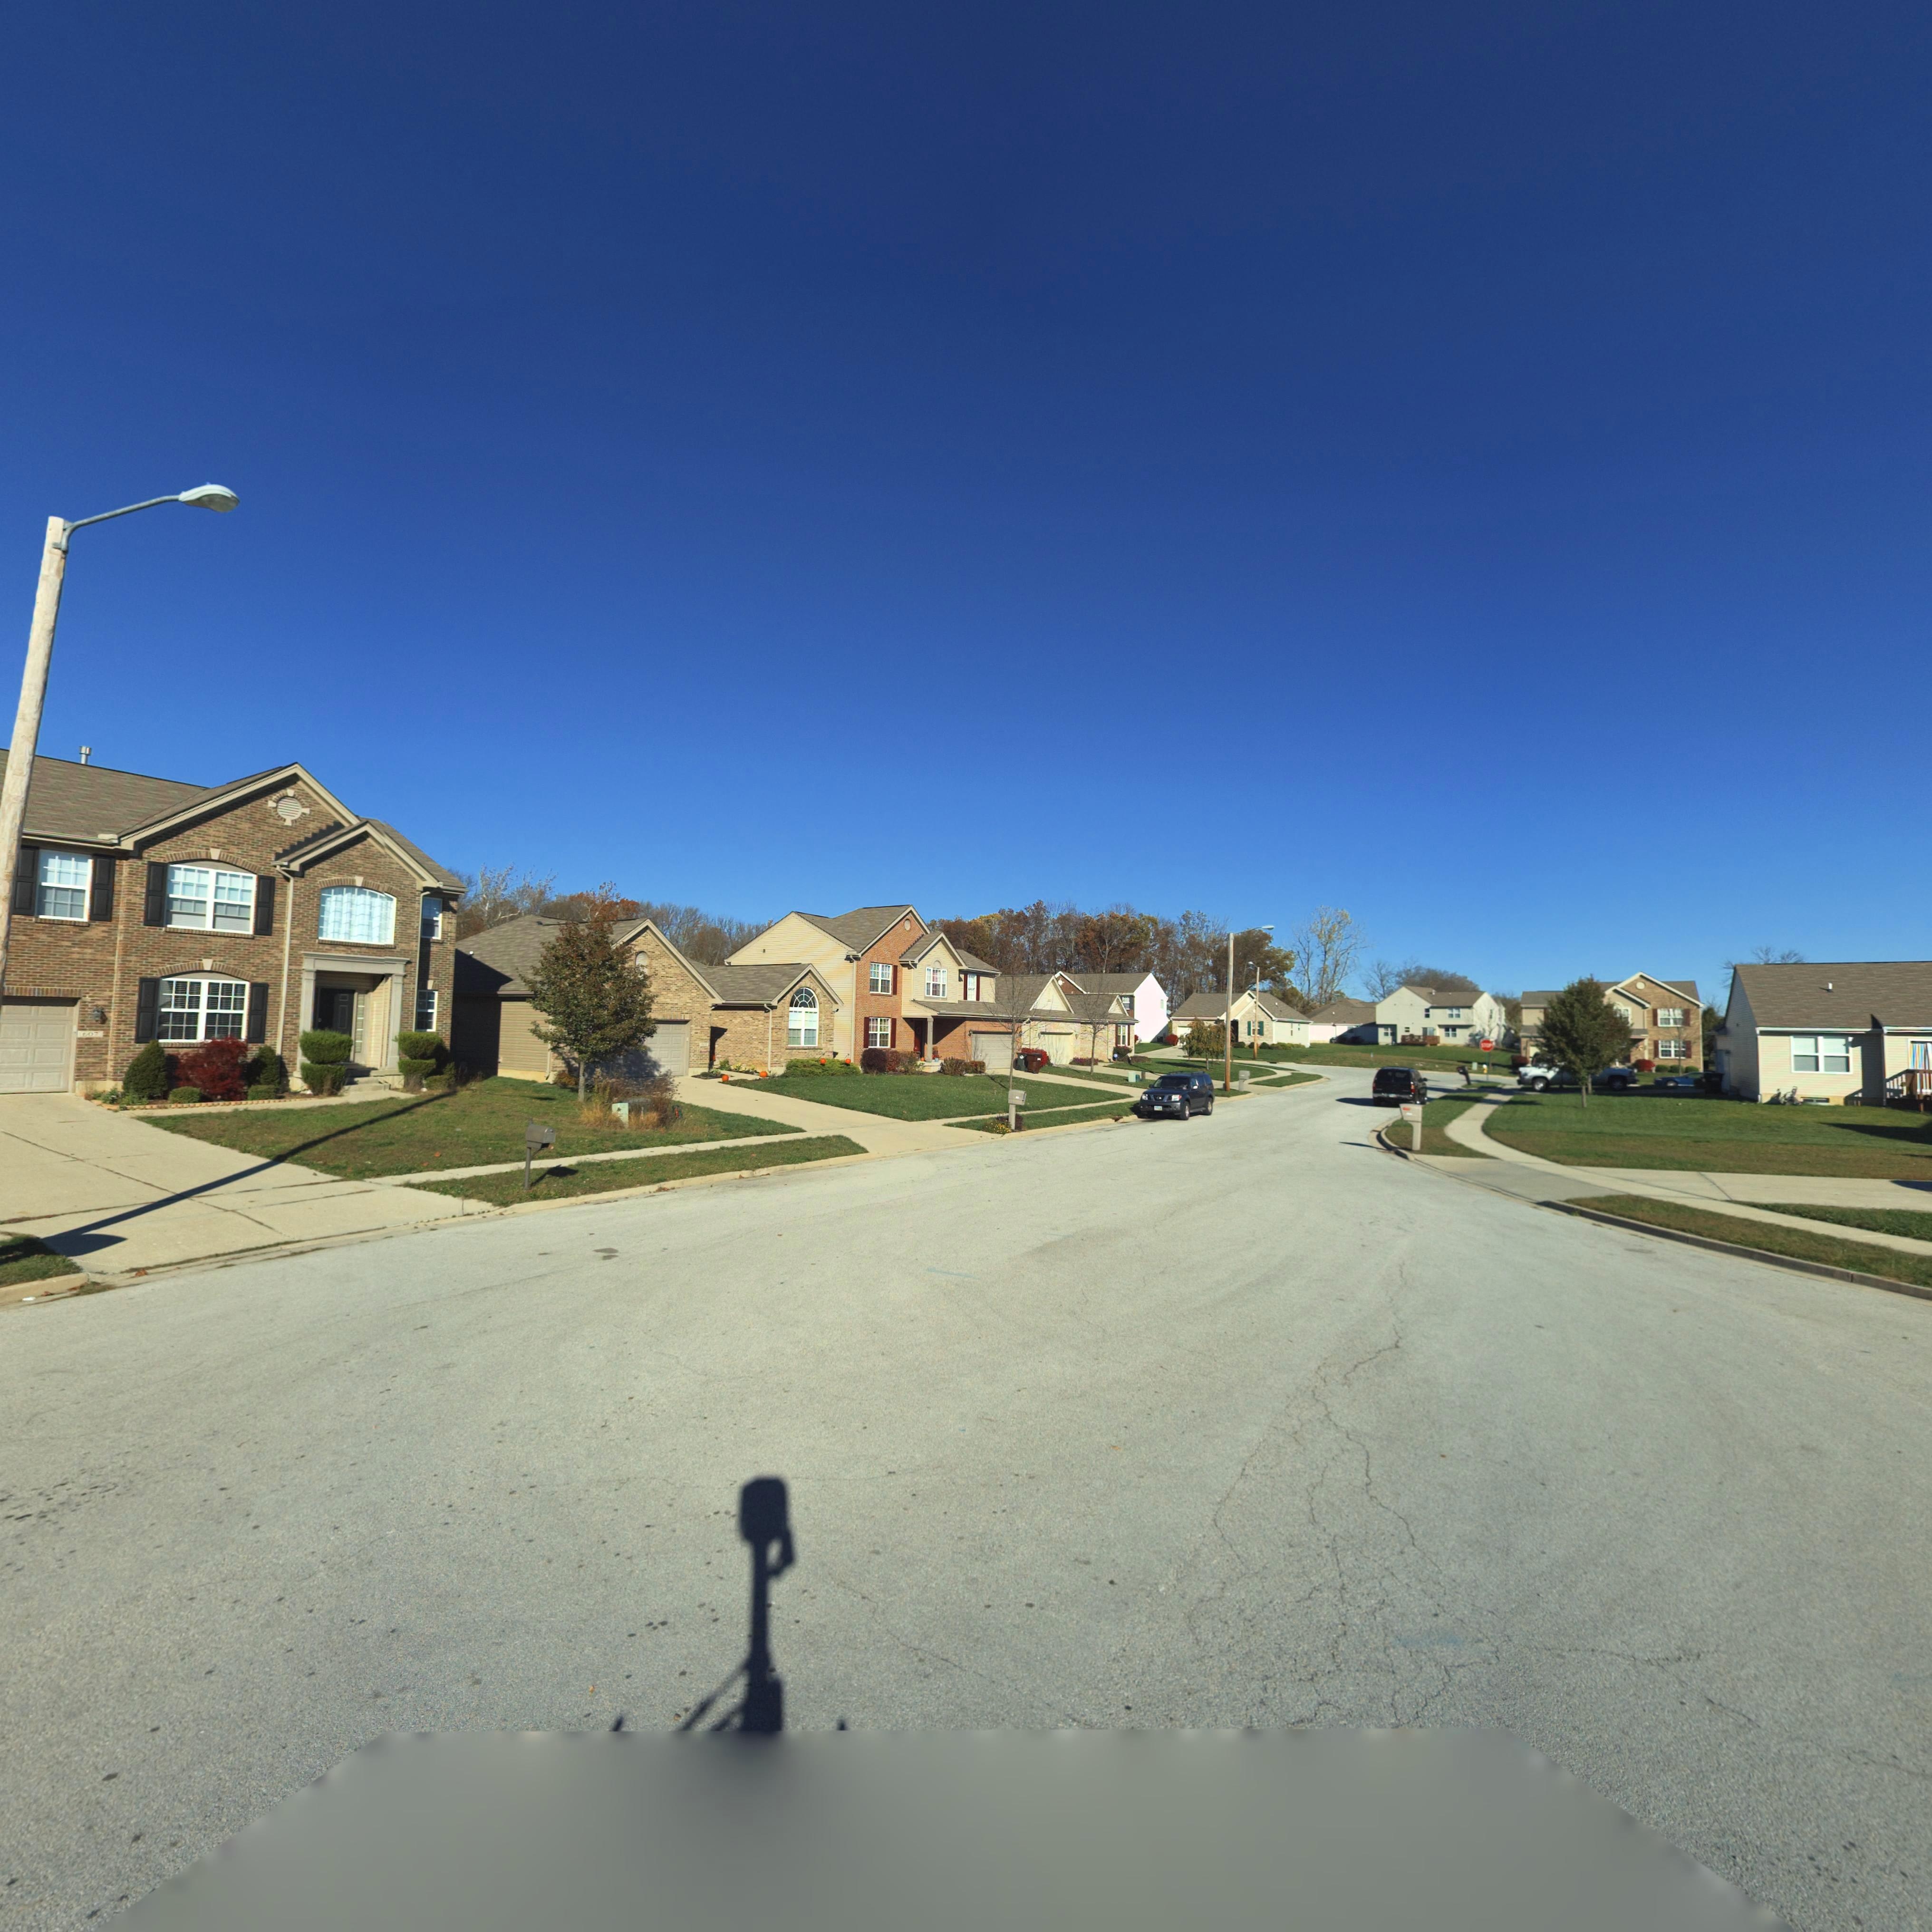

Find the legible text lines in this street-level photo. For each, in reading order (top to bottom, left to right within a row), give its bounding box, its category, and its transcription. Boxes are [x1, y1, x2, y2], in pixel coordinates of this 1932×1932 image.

[82, 1031, 98, 1037] StreetNumber: 607